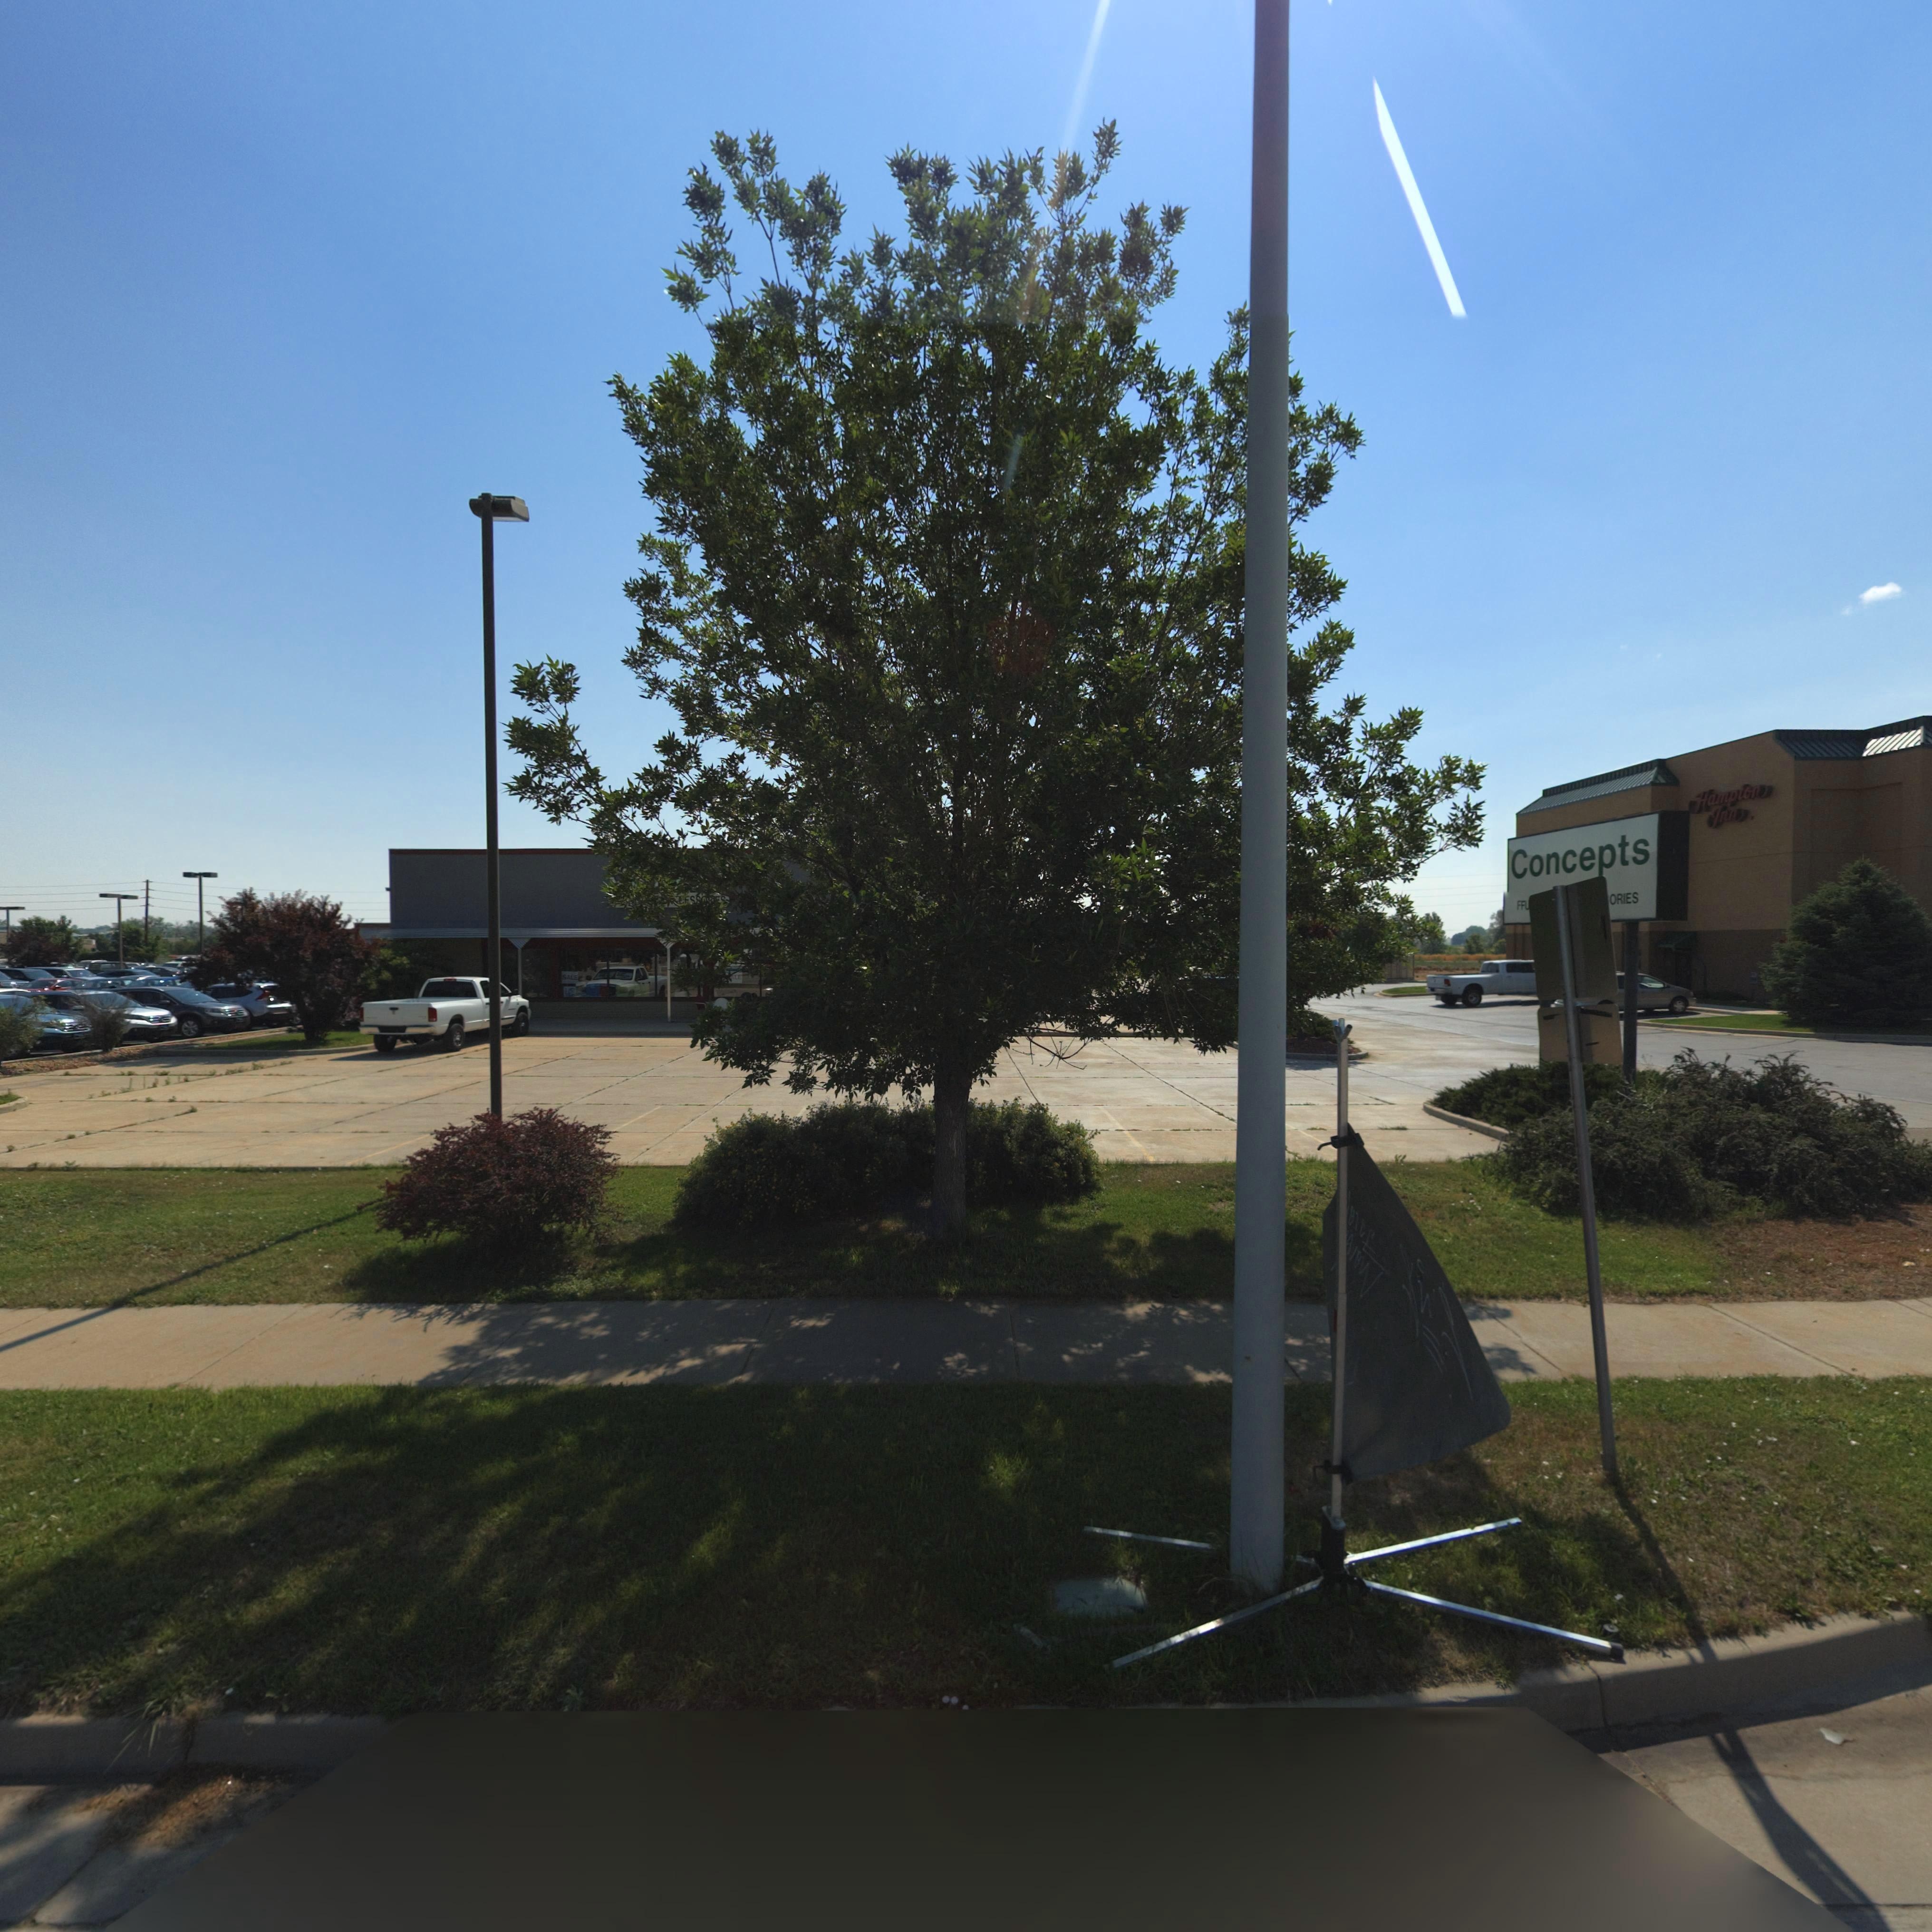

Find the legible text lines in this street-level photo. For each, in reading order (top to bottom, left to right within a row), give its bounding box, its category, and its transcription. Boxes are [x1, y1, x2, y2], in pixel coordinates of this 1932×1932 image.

[1694, 783, 1769, 813] BusinessName: Hampton
[1706, 805, 1745, 829] BusinessName: Inn
[1510, 834, 1651, 880] BusinessName: Concepts
[1516, 891, 1639, 910] BusinessName: FF* ORIES